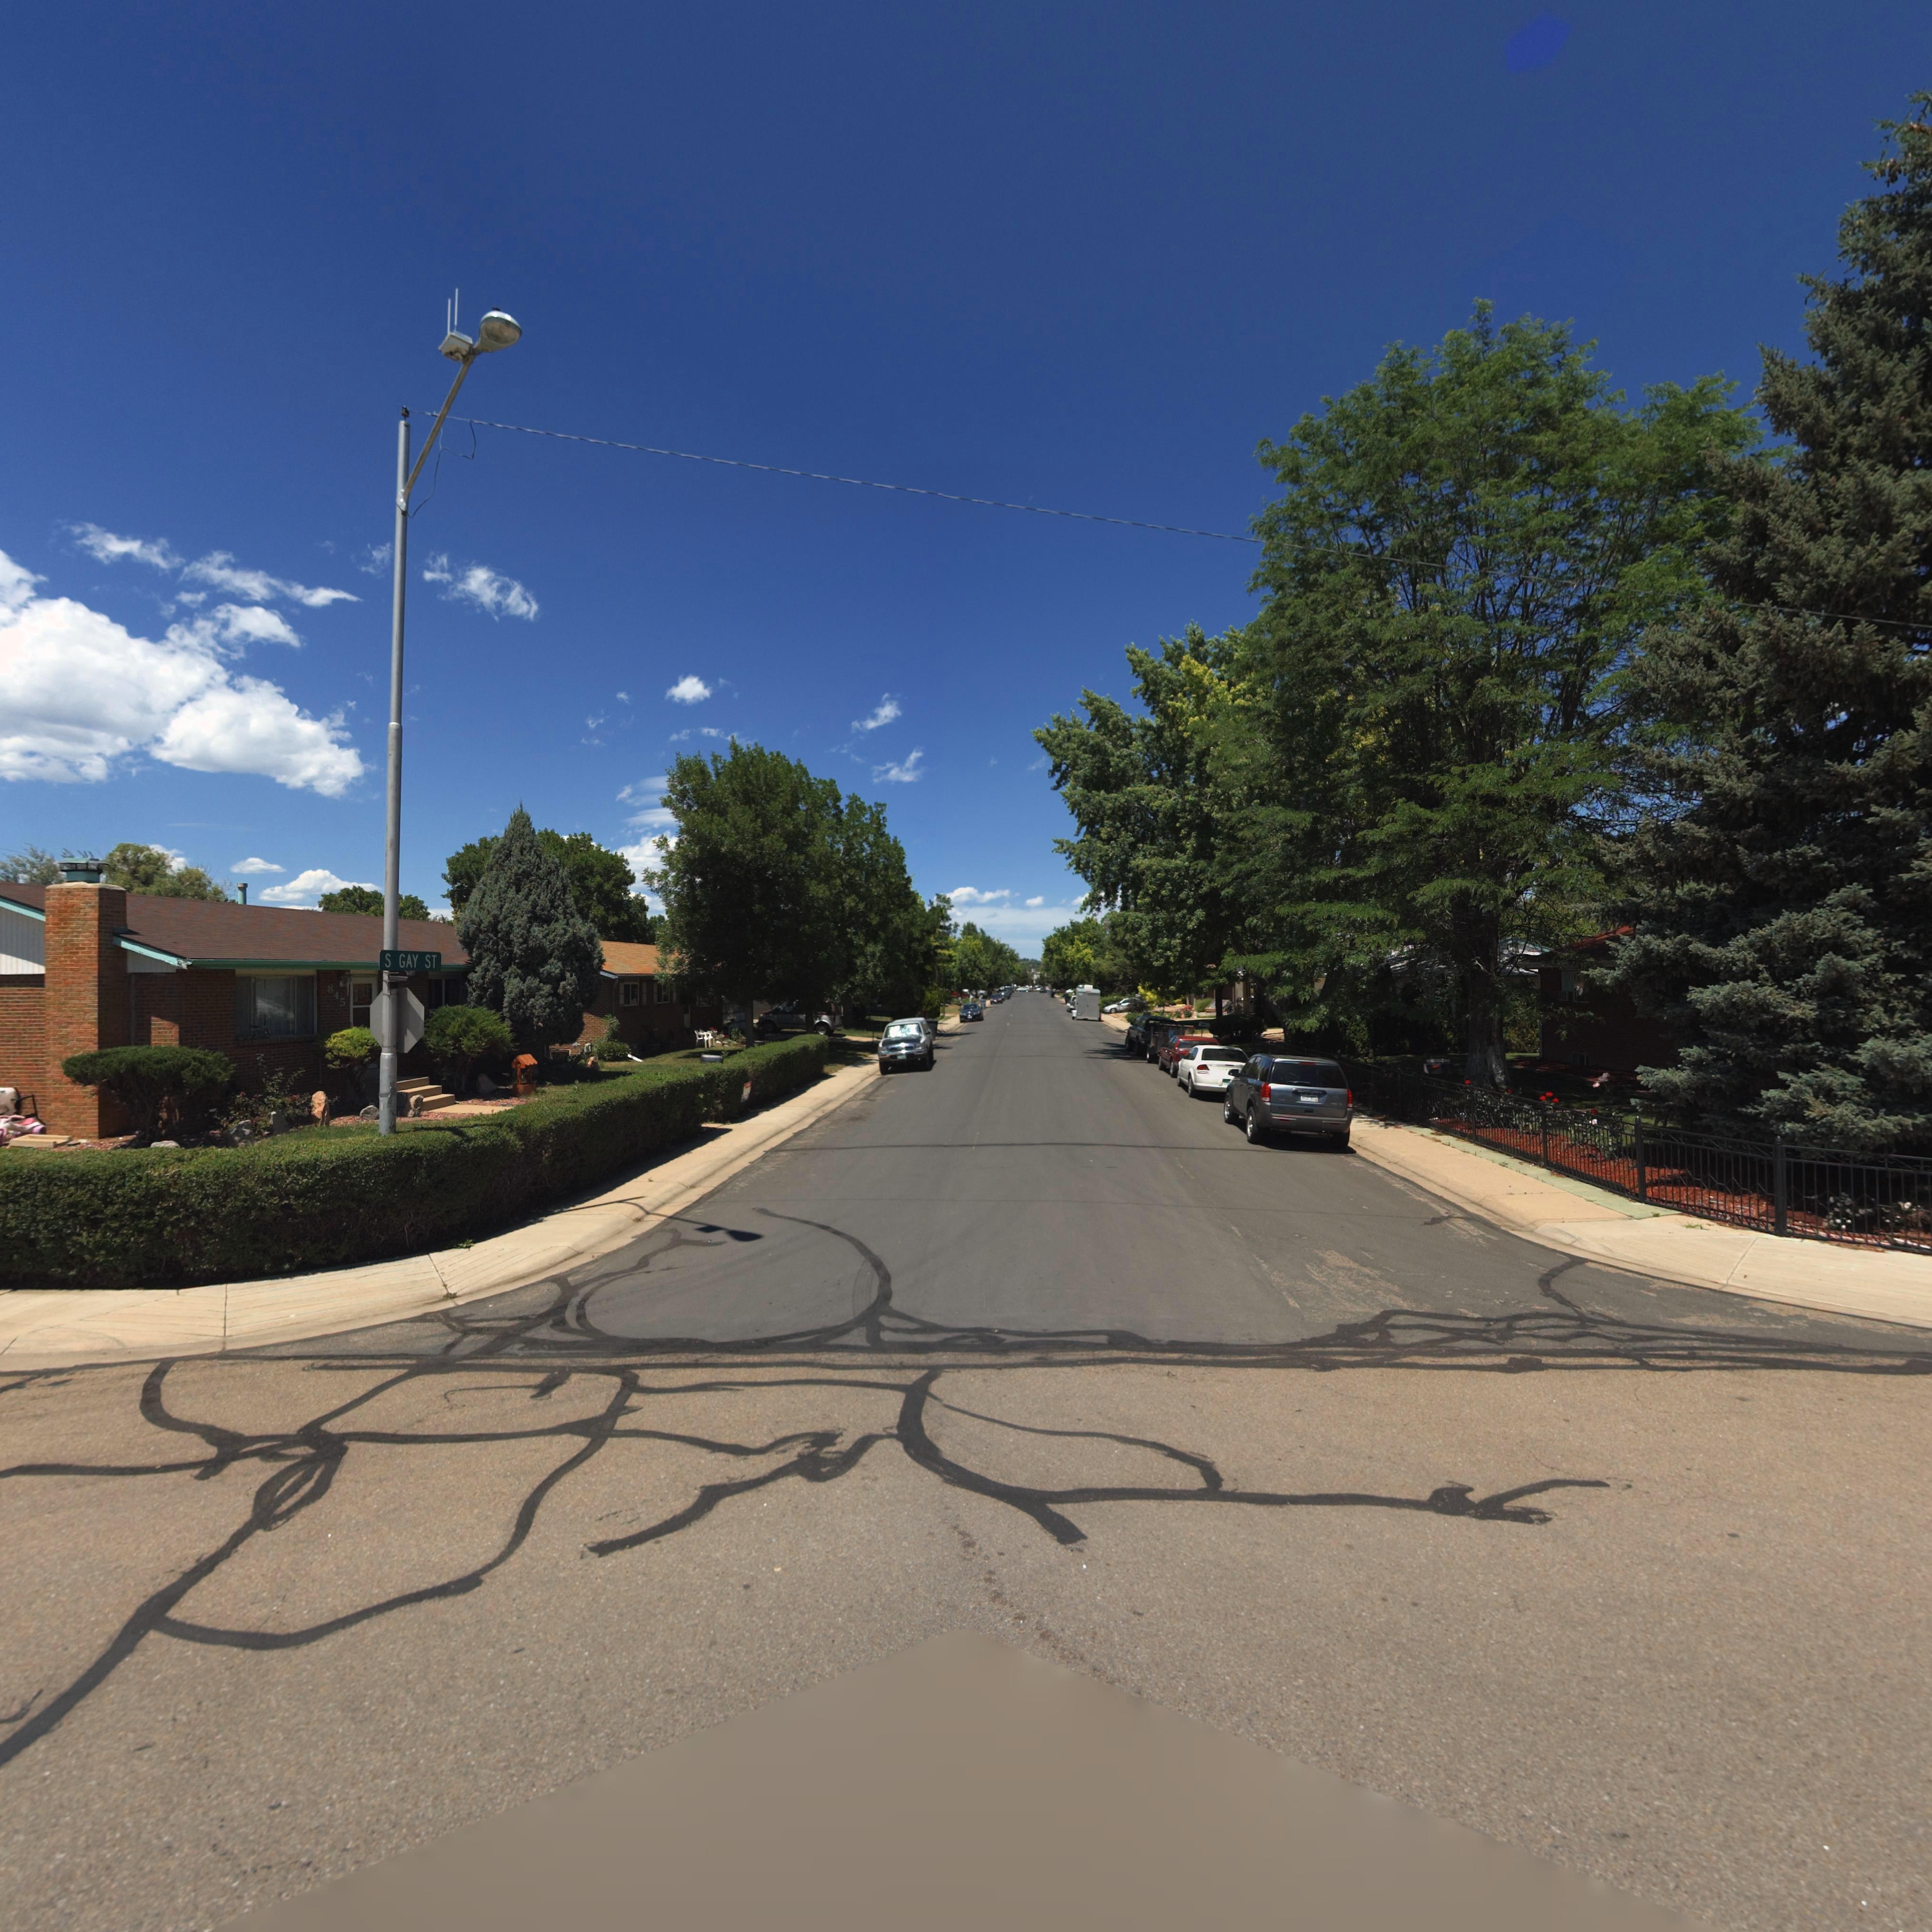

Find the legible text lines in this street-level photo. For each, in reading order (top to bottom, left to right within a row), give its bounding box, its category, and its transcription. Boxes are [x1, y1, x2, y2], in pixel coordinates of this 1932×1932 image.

[384, 953, 438, 969] StreetName: S GAY ST
[326, 983, 346, 1007] StreetNumber: 845